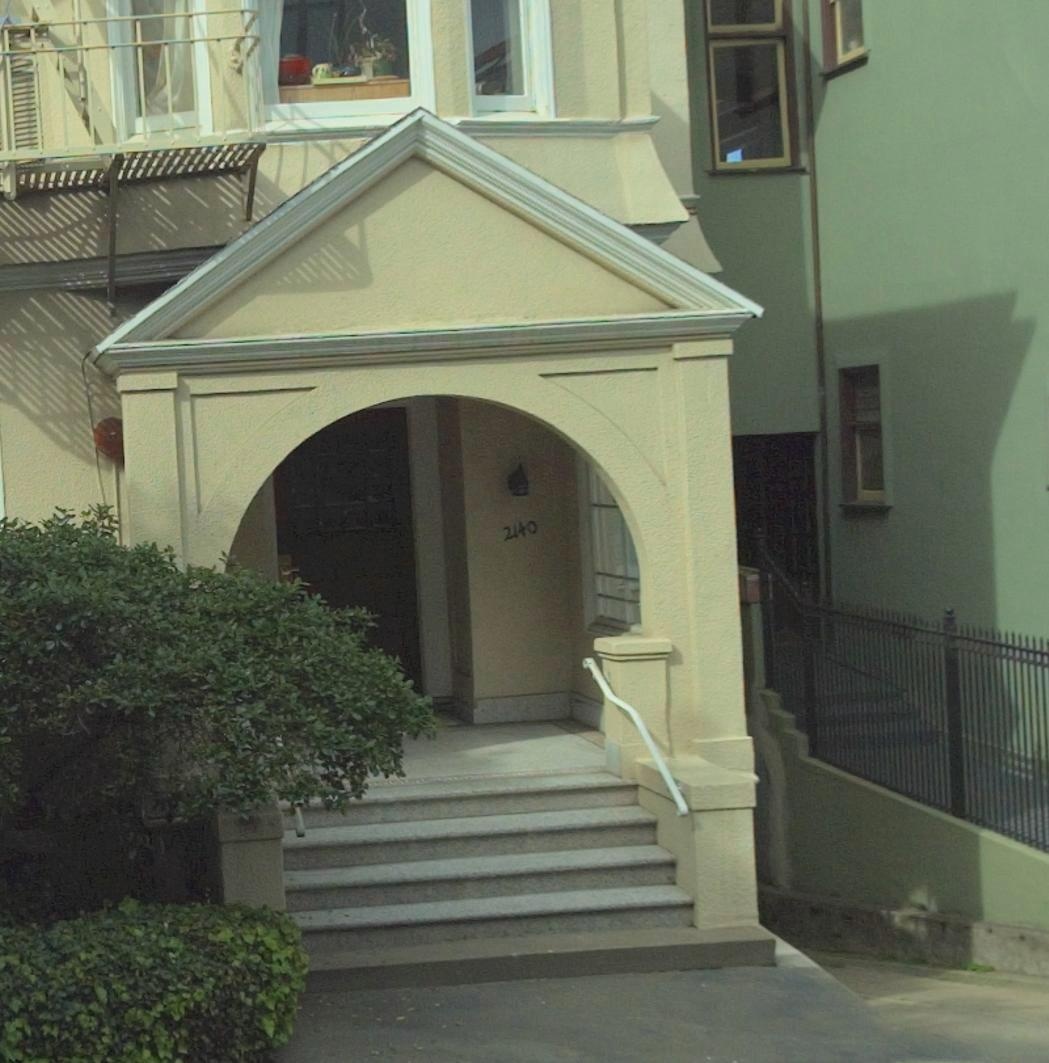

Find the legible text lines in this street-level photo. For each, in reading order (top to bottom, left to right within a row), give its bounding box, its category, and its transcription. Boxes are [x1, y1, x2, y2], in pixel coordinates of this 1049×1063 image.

[501, 517, 540, 545] StreetNumber: 2140